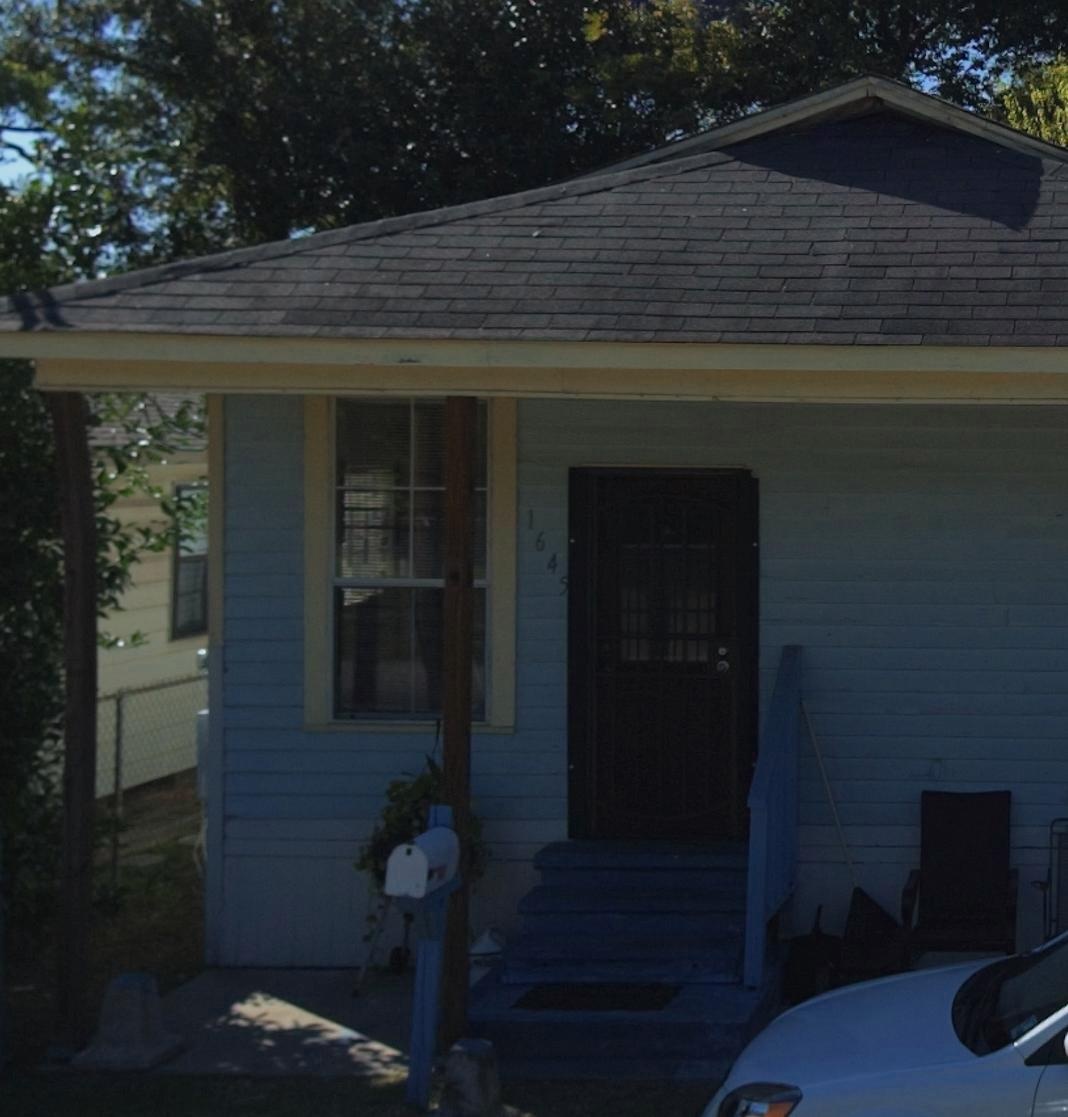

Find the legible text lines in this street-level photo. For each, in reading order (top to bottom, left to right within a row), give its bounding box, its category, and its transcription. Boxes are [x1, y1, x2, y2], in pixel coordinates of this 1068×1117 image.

[525, 506, 570, 597] StreetNumber: 1645